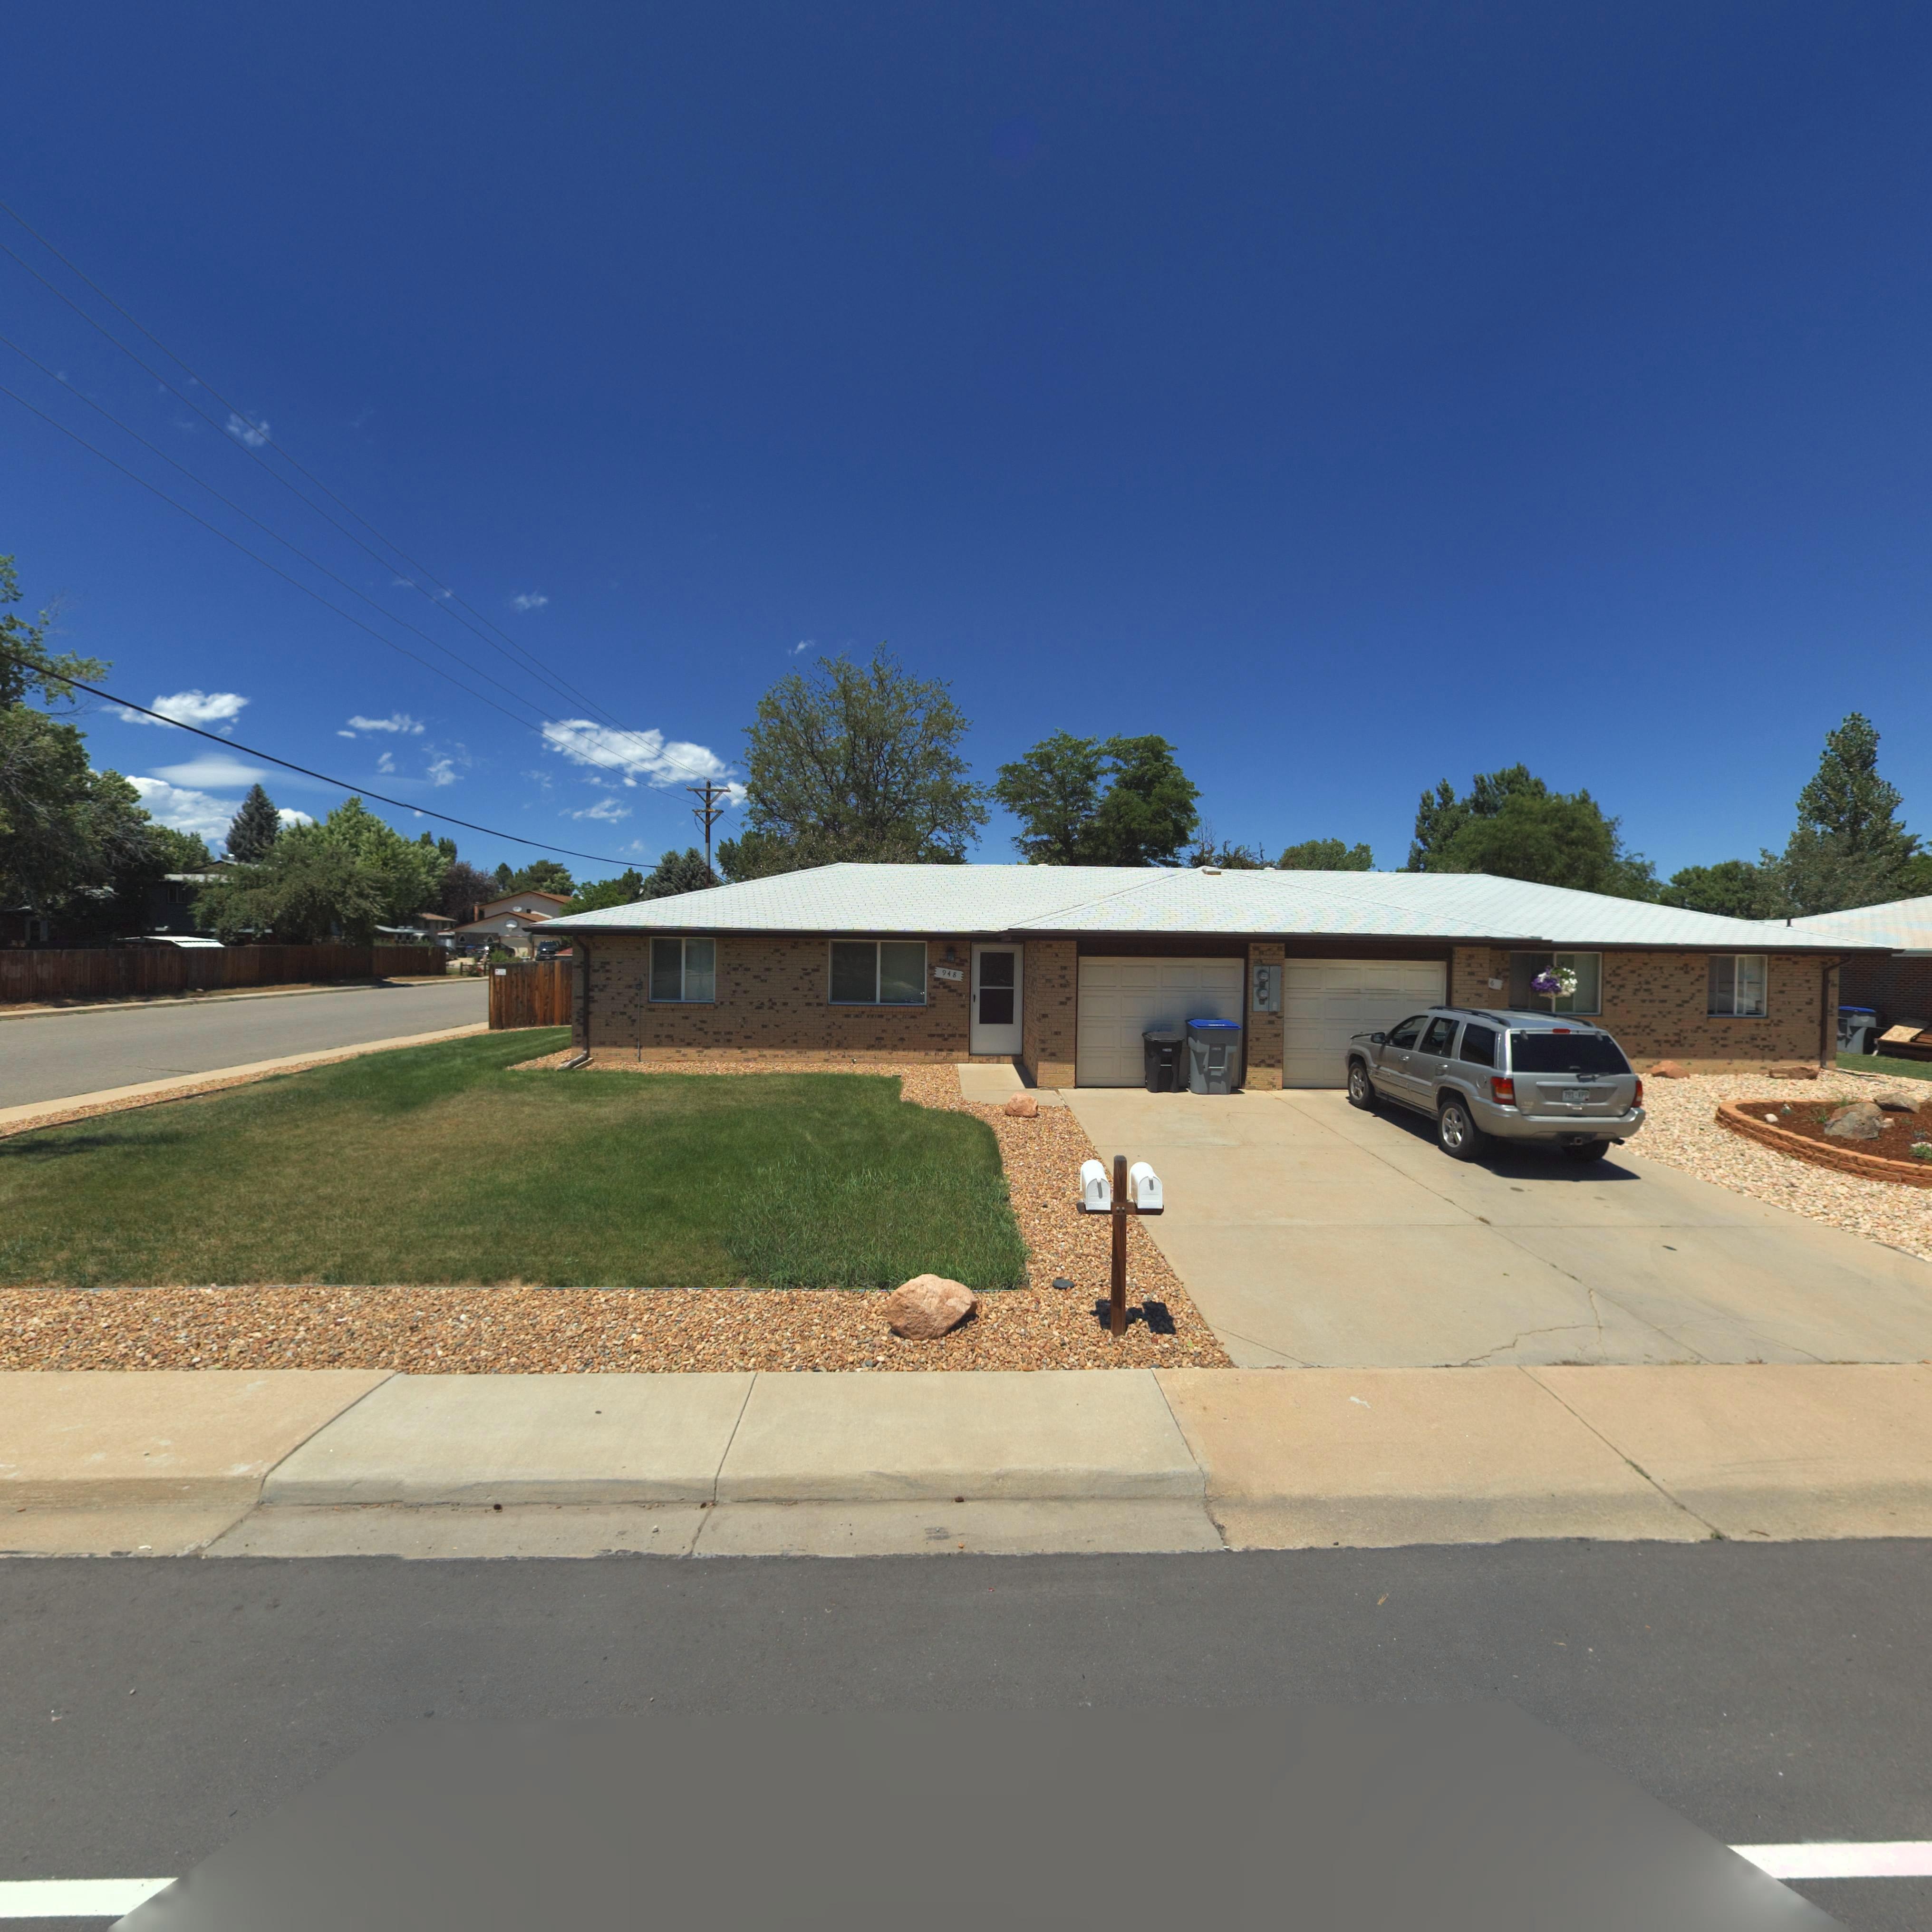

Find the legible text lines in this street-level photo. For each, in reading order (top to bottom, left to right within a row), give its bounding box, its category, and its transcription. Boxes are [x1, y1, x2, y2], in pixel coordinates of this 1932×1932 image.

[942, 969, 956, 978] StreetNumber: 948
[1489, 979, 1494, 986] StreetNumber: 6